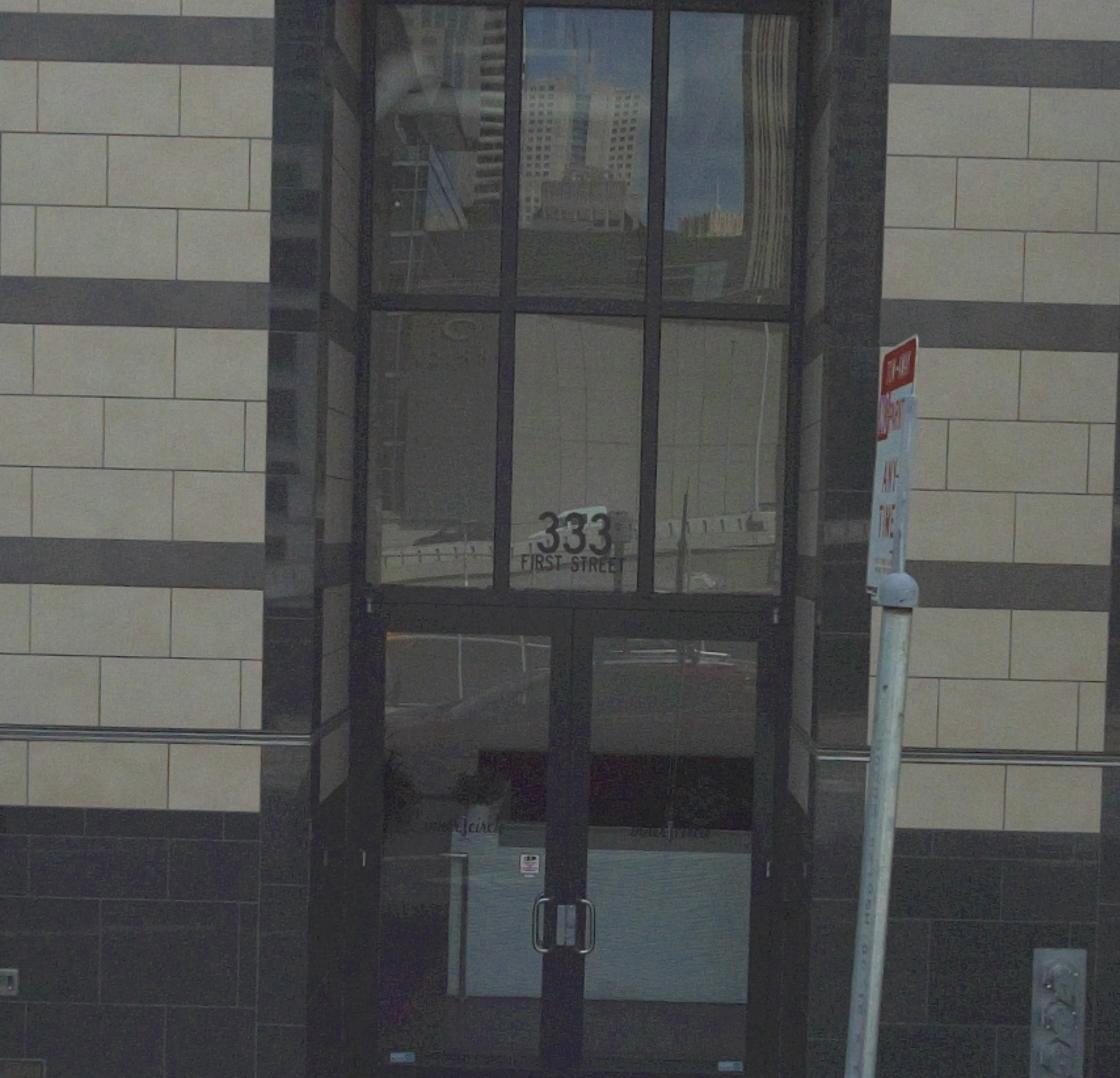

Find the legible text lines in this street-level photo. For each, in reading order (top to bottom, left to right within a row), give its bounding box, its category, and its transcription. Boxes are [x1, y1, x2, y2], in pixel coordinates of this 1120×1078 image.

[881, 457, 900, 493] None: ANY
[536, 511, 612, 556] StreetNumber: 333
[878, 502, 897, 539] None: TIME
[520, 553, 627, 573] StreetName: FIRST STREET
[467, 815, 505, 834] BusinessName: circle